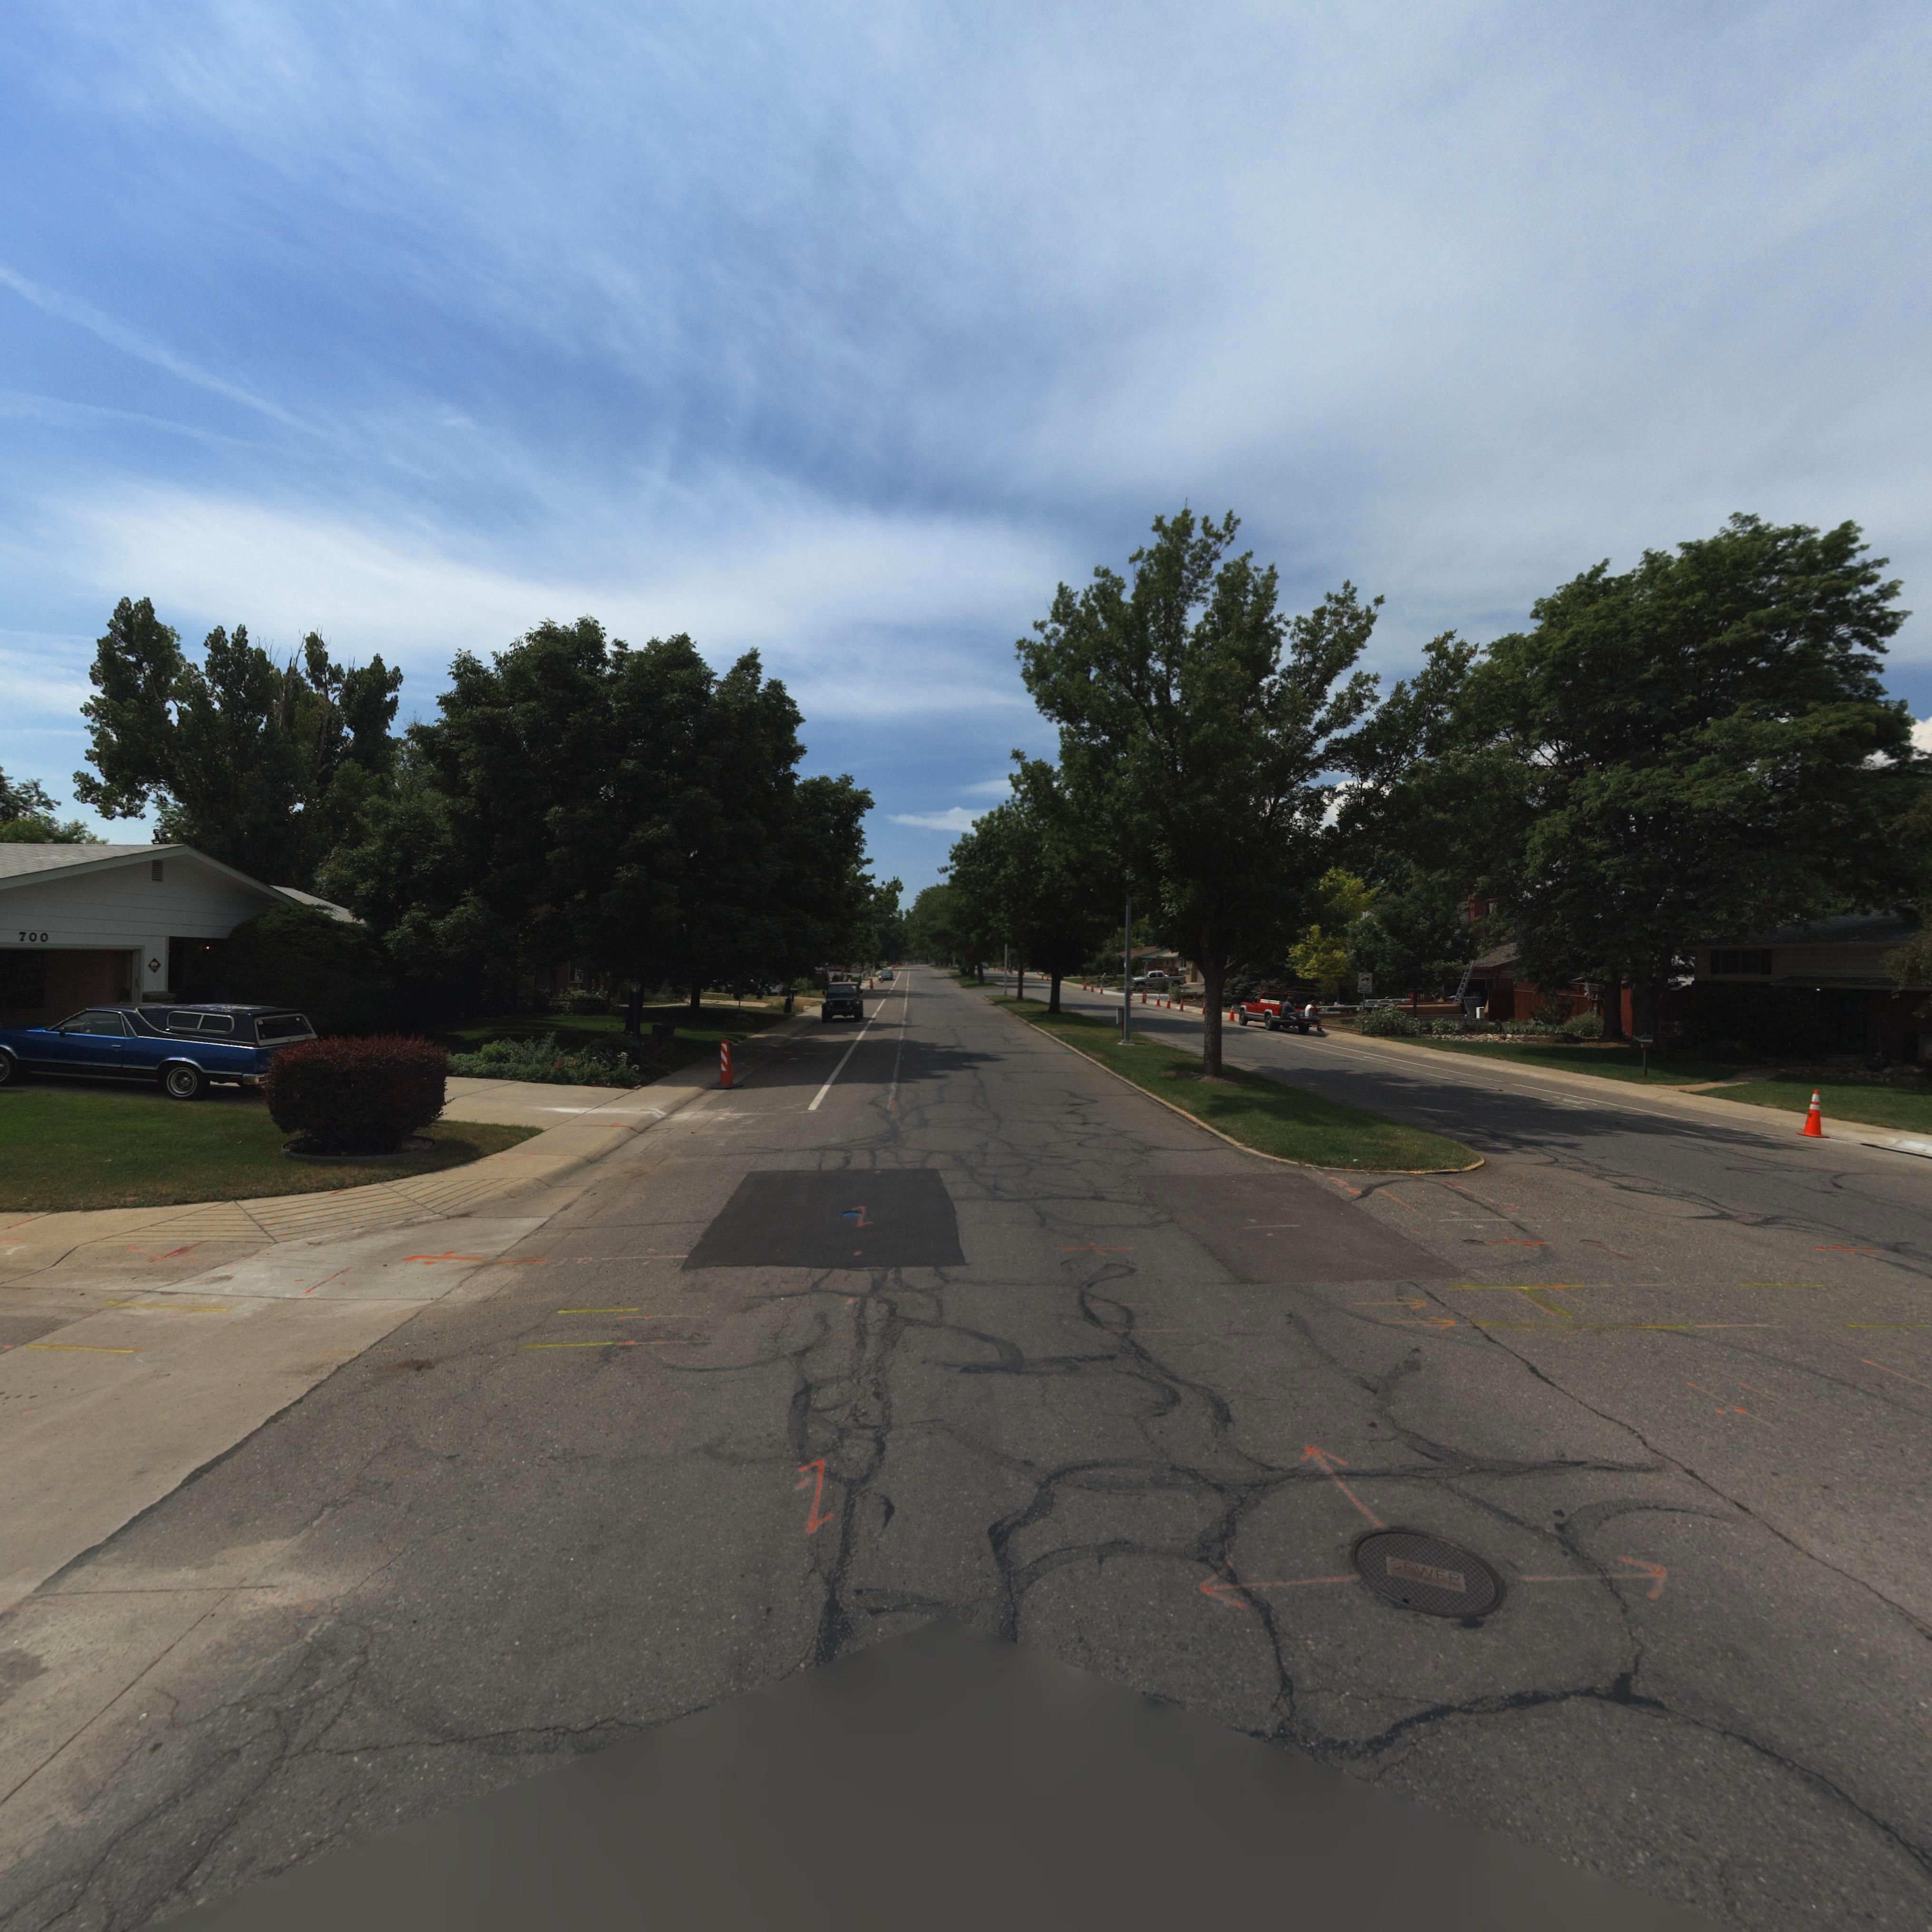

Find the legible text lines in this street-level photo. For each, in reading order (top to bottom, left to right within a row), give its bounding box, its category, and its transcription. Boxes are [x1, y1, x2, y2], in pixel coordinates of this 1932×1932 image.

[19, 931, 48, 942] StreetNumber: 700